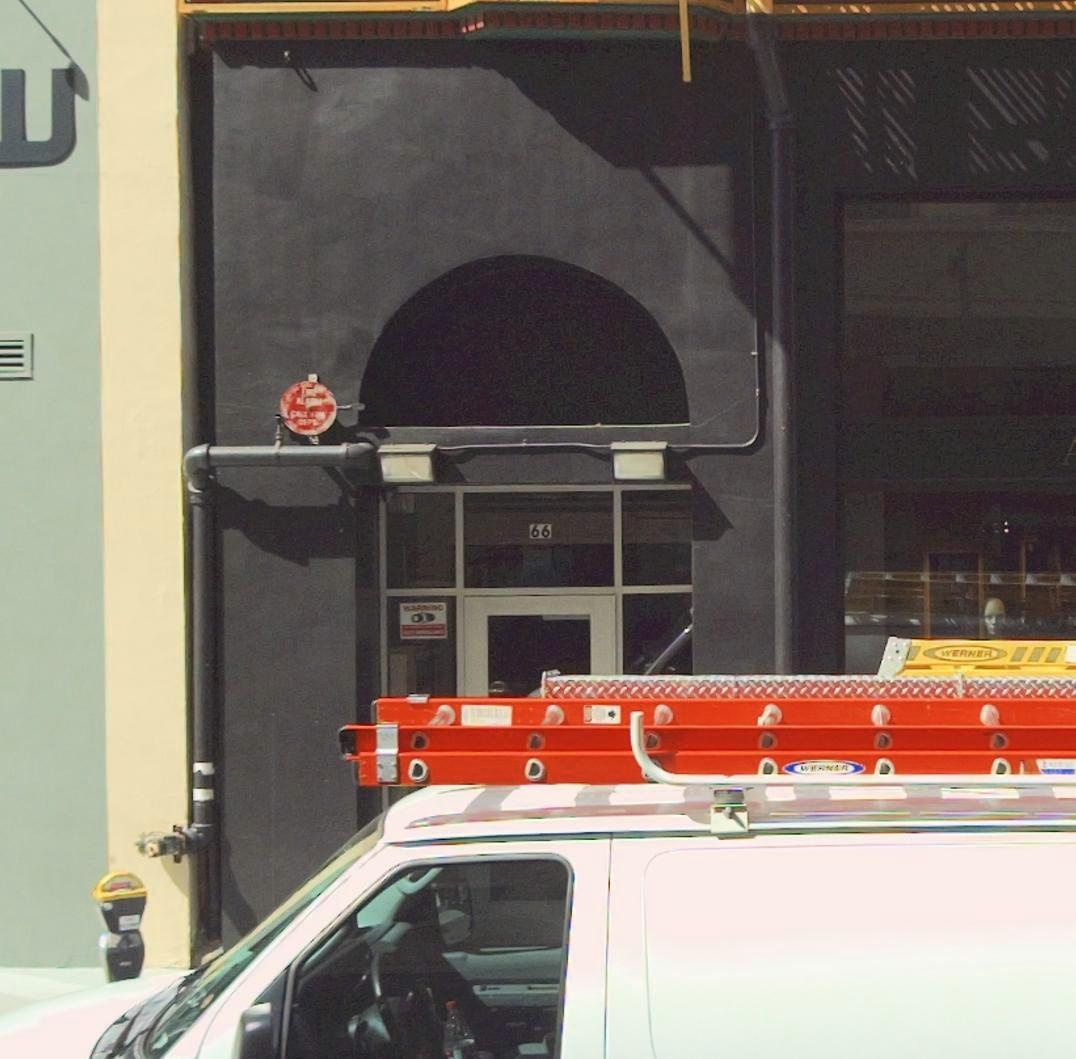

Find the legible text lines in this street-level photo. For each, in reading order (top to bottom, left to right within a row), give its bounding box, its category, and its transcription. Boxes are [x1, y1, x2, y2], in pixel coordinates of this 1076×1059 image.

[530, 524, 551, 539] StreetNumber: 66
[940, 648, 994, 658] None: WERNER
[800, 764, 849, 772] None: WERNER